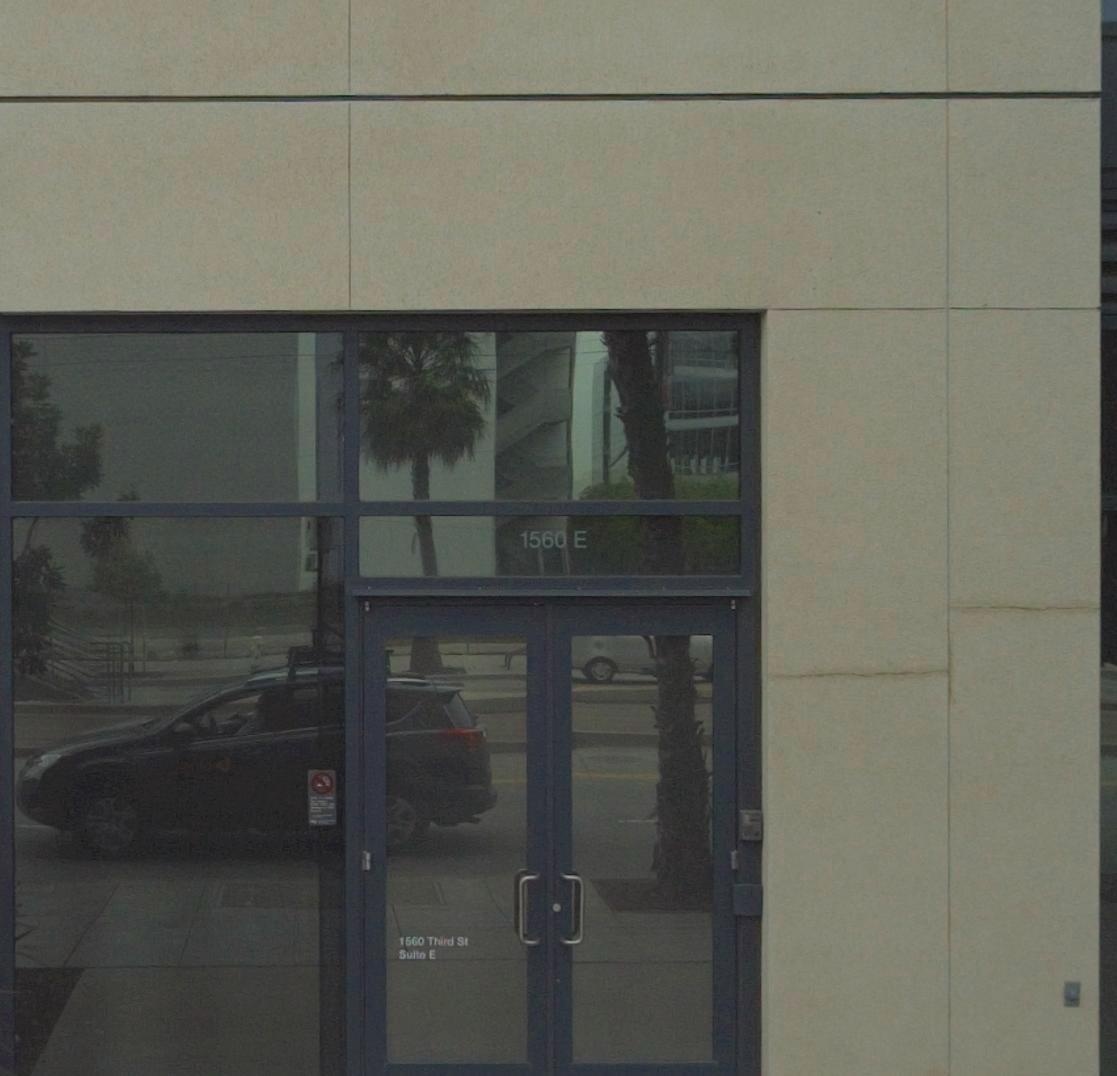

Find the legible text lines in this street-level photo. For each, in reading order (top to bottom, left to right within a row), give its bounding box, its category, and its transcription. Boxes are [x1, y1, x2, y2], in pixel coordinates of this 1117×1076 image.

[518, 528, 589, 551] StreetNumber: 1560 E
[397, 934, 426, 948] StreetNumber: 1560
[425, 934, 471, 948] StreetName: Third St
[397, 947, 438, 962] SecondaryUnitDesignator: Suite E